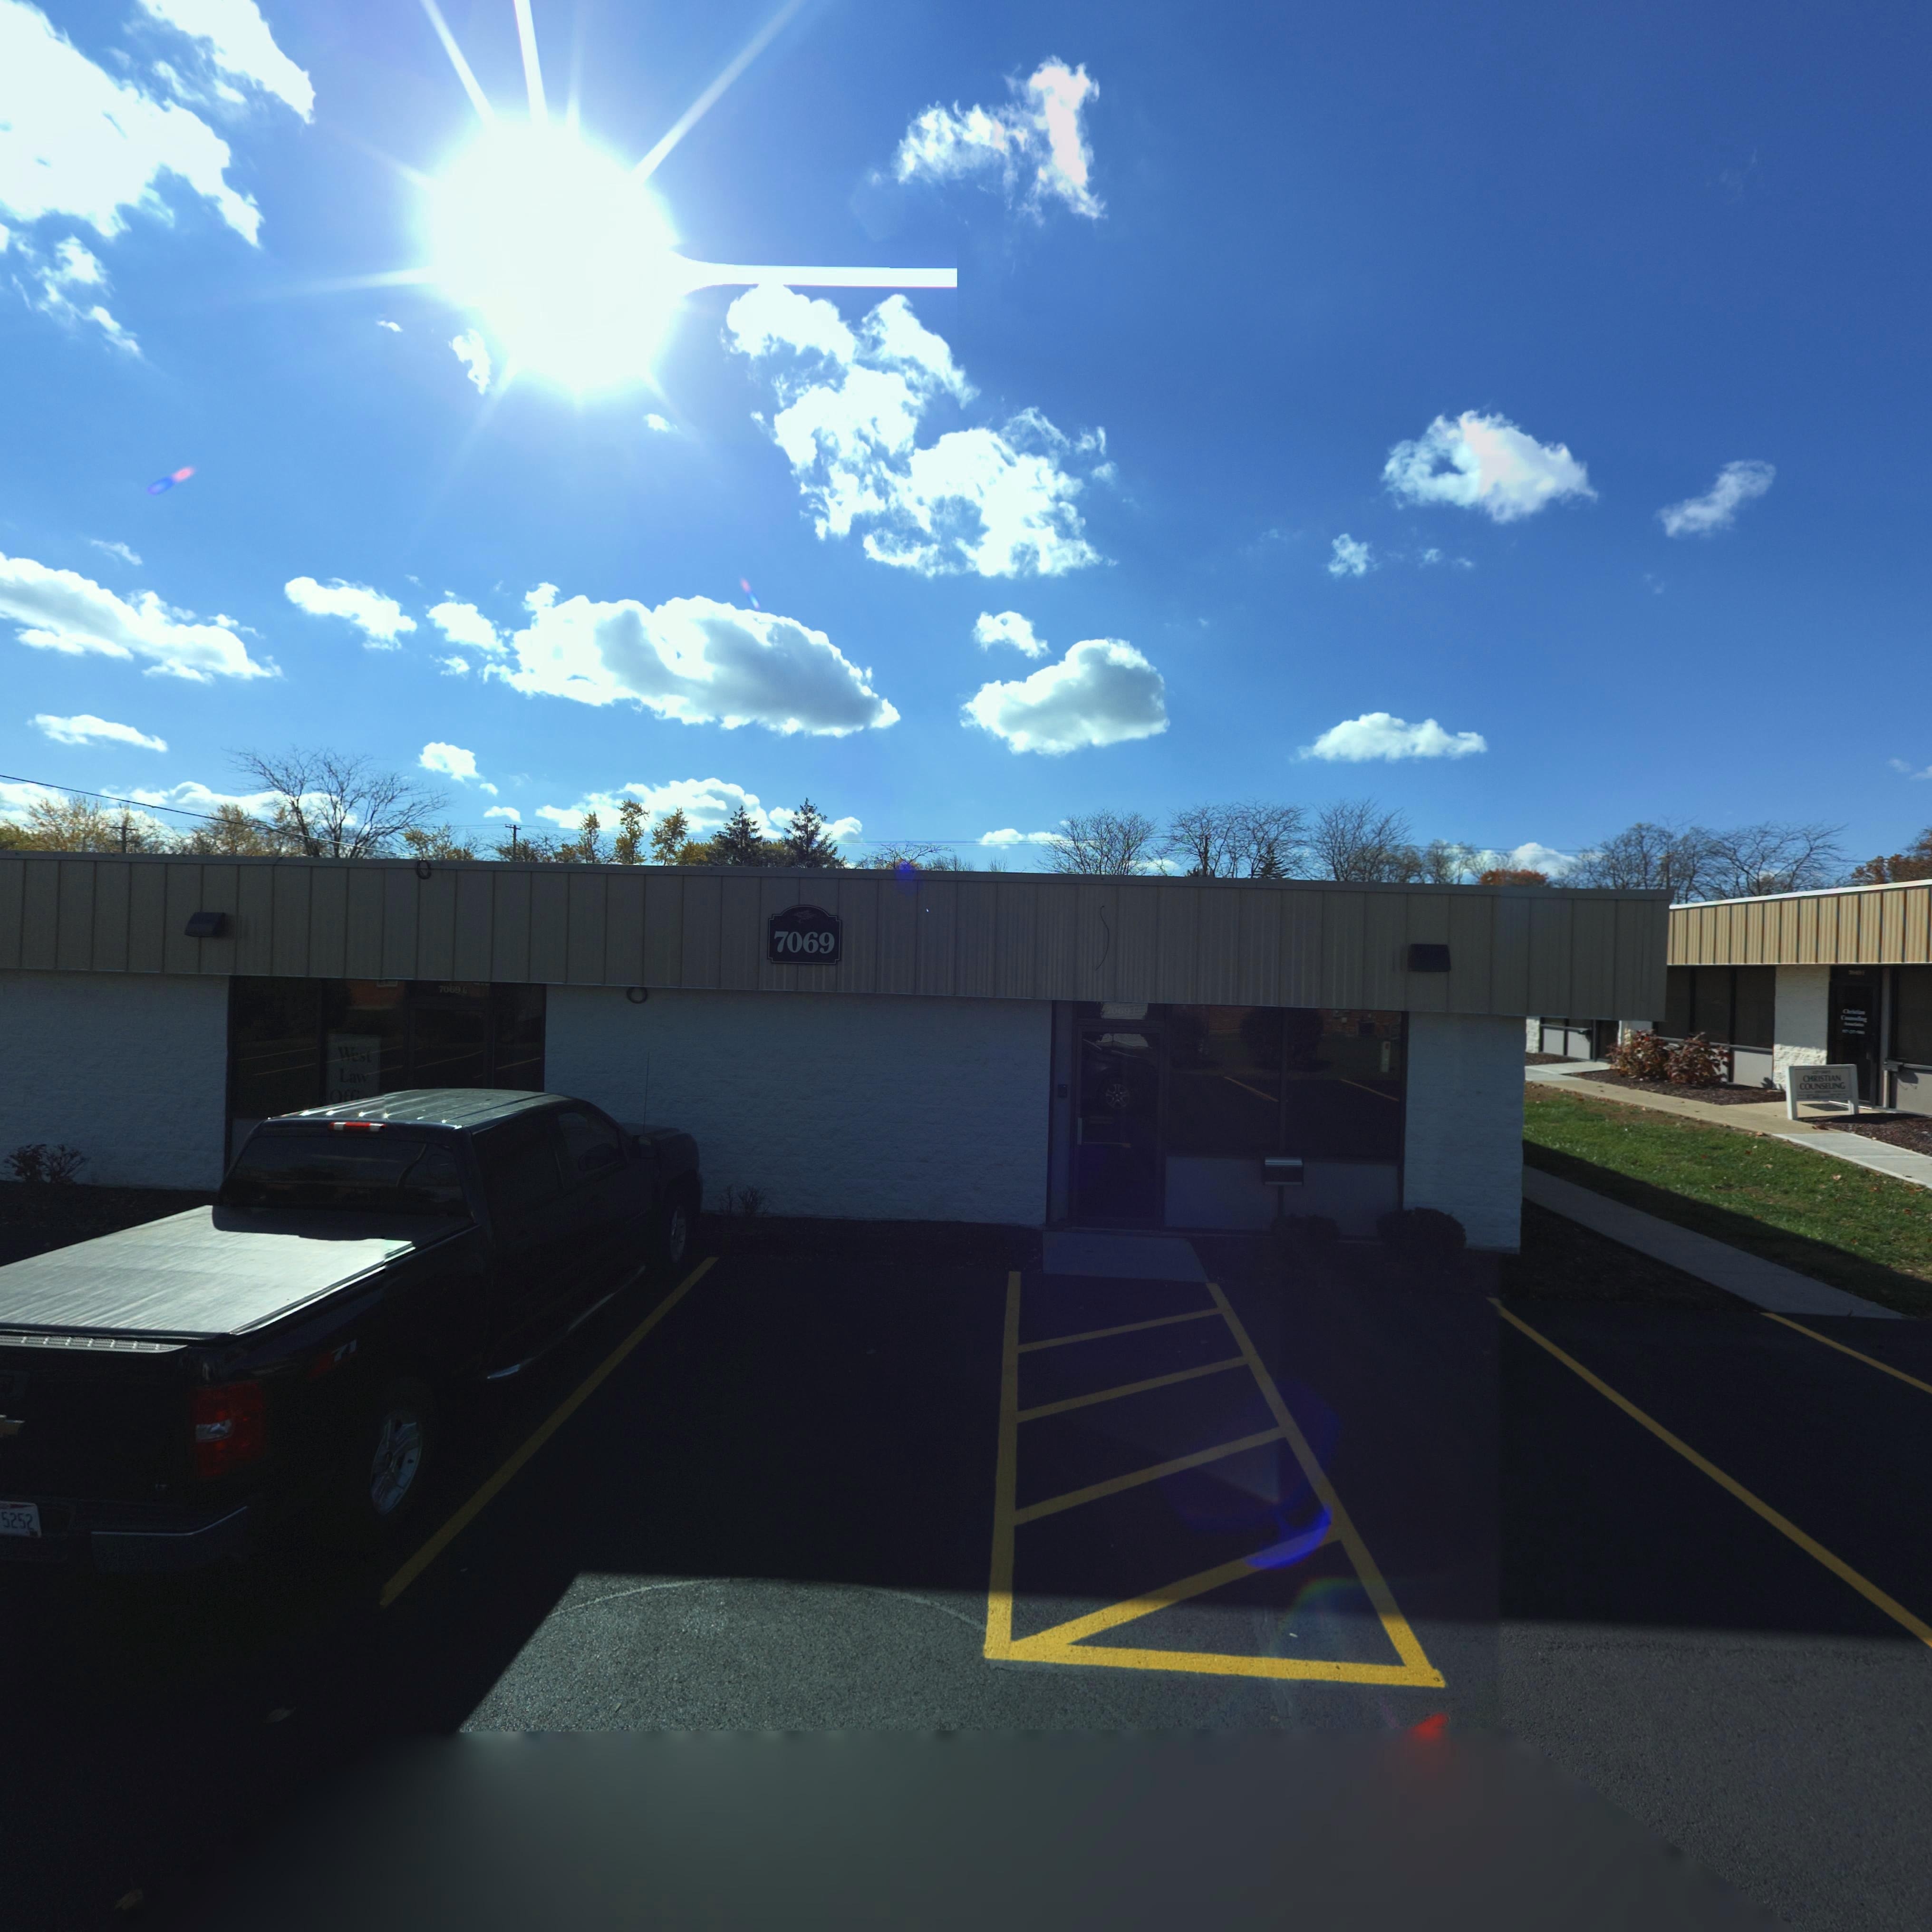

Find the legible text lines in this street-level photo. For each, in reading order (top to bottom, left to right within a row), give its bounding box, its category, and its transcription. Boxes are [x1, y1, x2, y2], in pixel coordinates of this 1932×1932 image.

[772, 929, 837, 955] StreetNumber: 7069
[437, 984, 469, 995] StreetNumber: 7069 *
[1105, 1005, 1137, 1017] StreetNumber: 7069 *